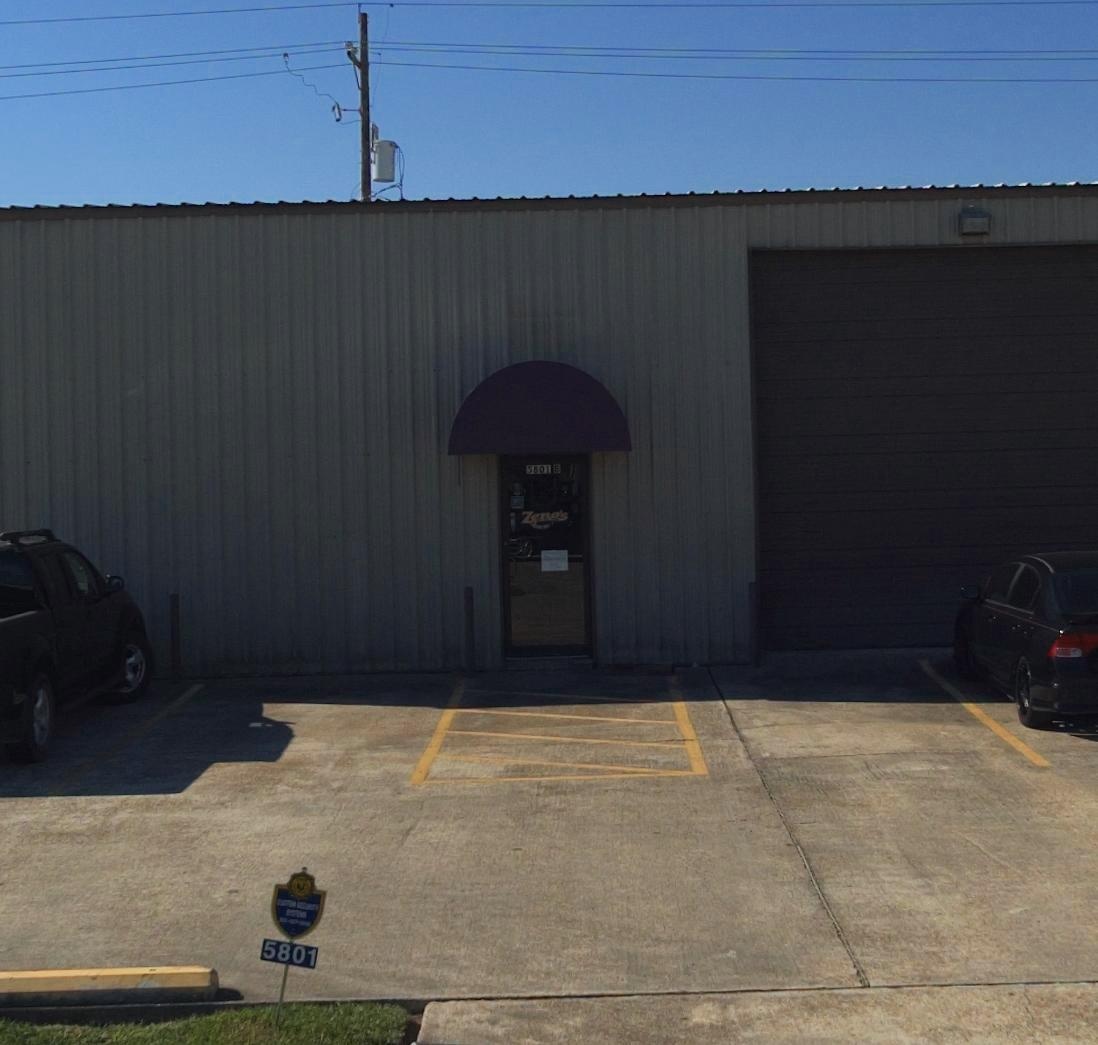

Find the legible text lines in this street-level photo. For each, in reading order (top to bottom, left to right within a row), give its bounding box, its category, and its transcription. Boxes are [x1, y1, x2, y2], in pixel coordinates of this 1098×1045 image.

[525, 463, 561, 475] StreetNumber: 5801 B
[518, 507, 570, 528] BusinessName: Z*no's